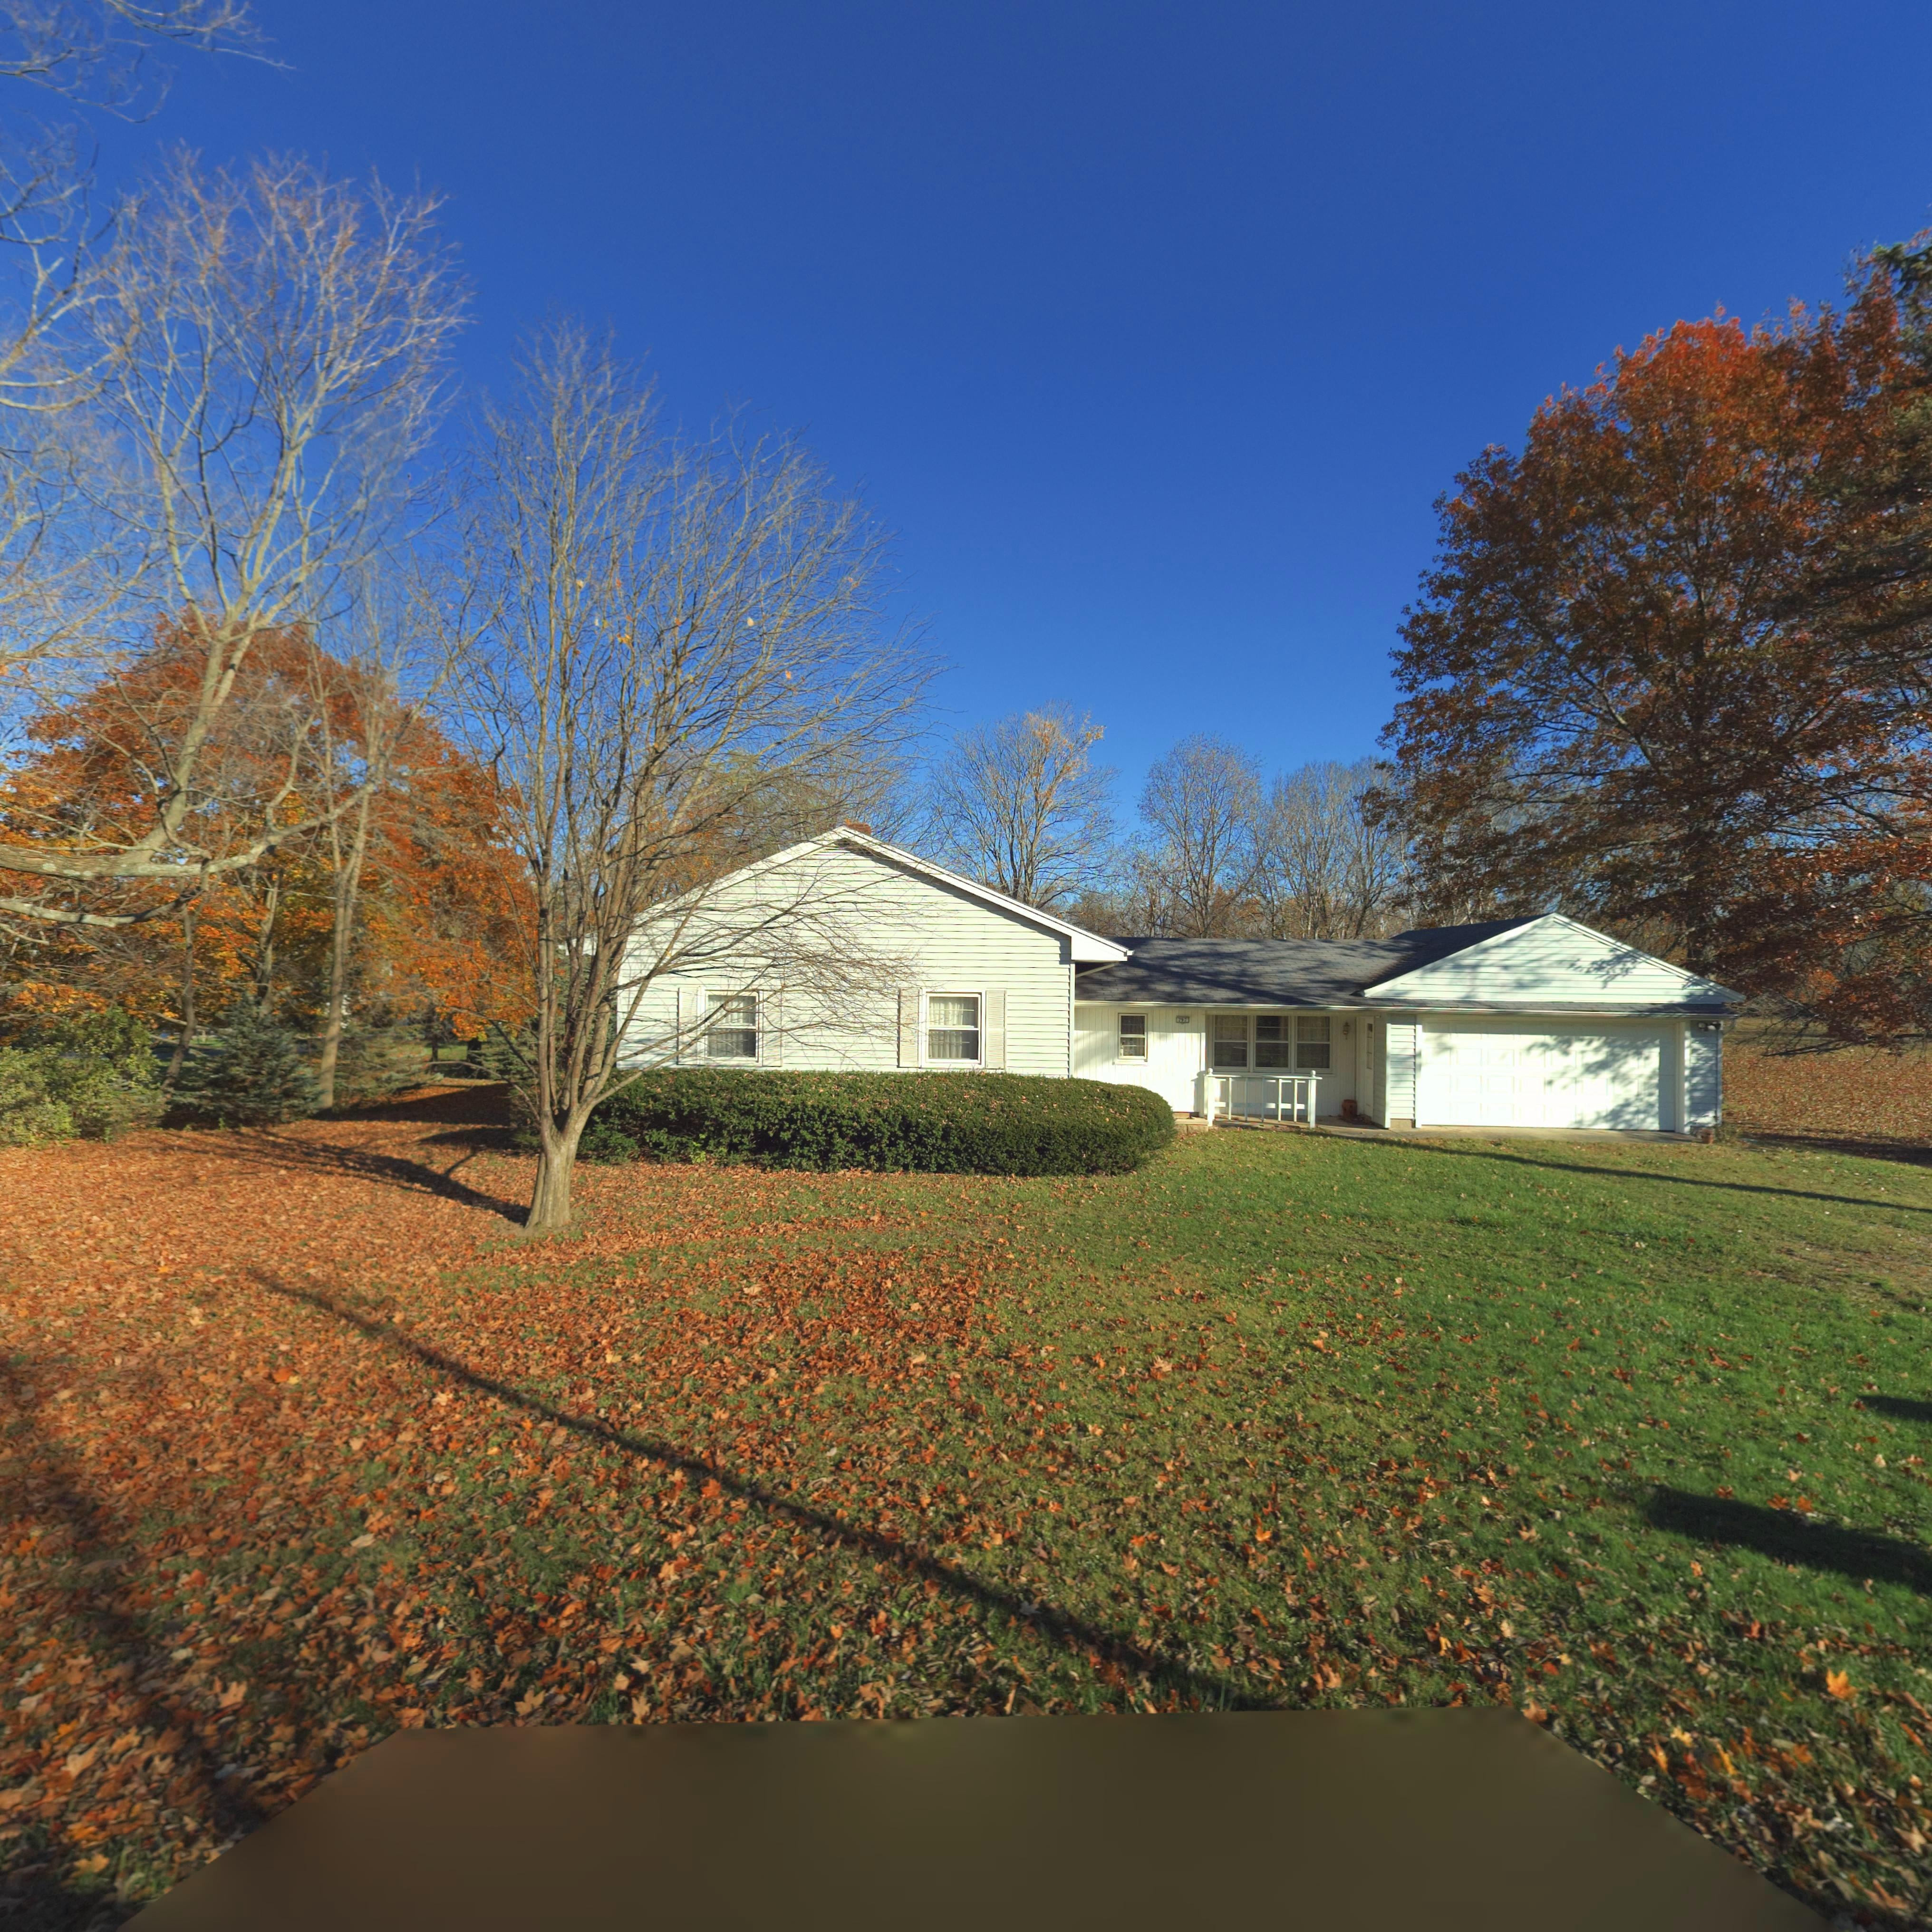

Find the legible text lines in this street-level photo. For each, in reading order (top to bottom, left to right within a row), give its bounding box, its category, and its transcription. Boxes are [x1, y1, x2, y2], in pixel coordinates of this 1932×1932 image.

[1178, 1017, 1187, 1022] StreetNumber: 797